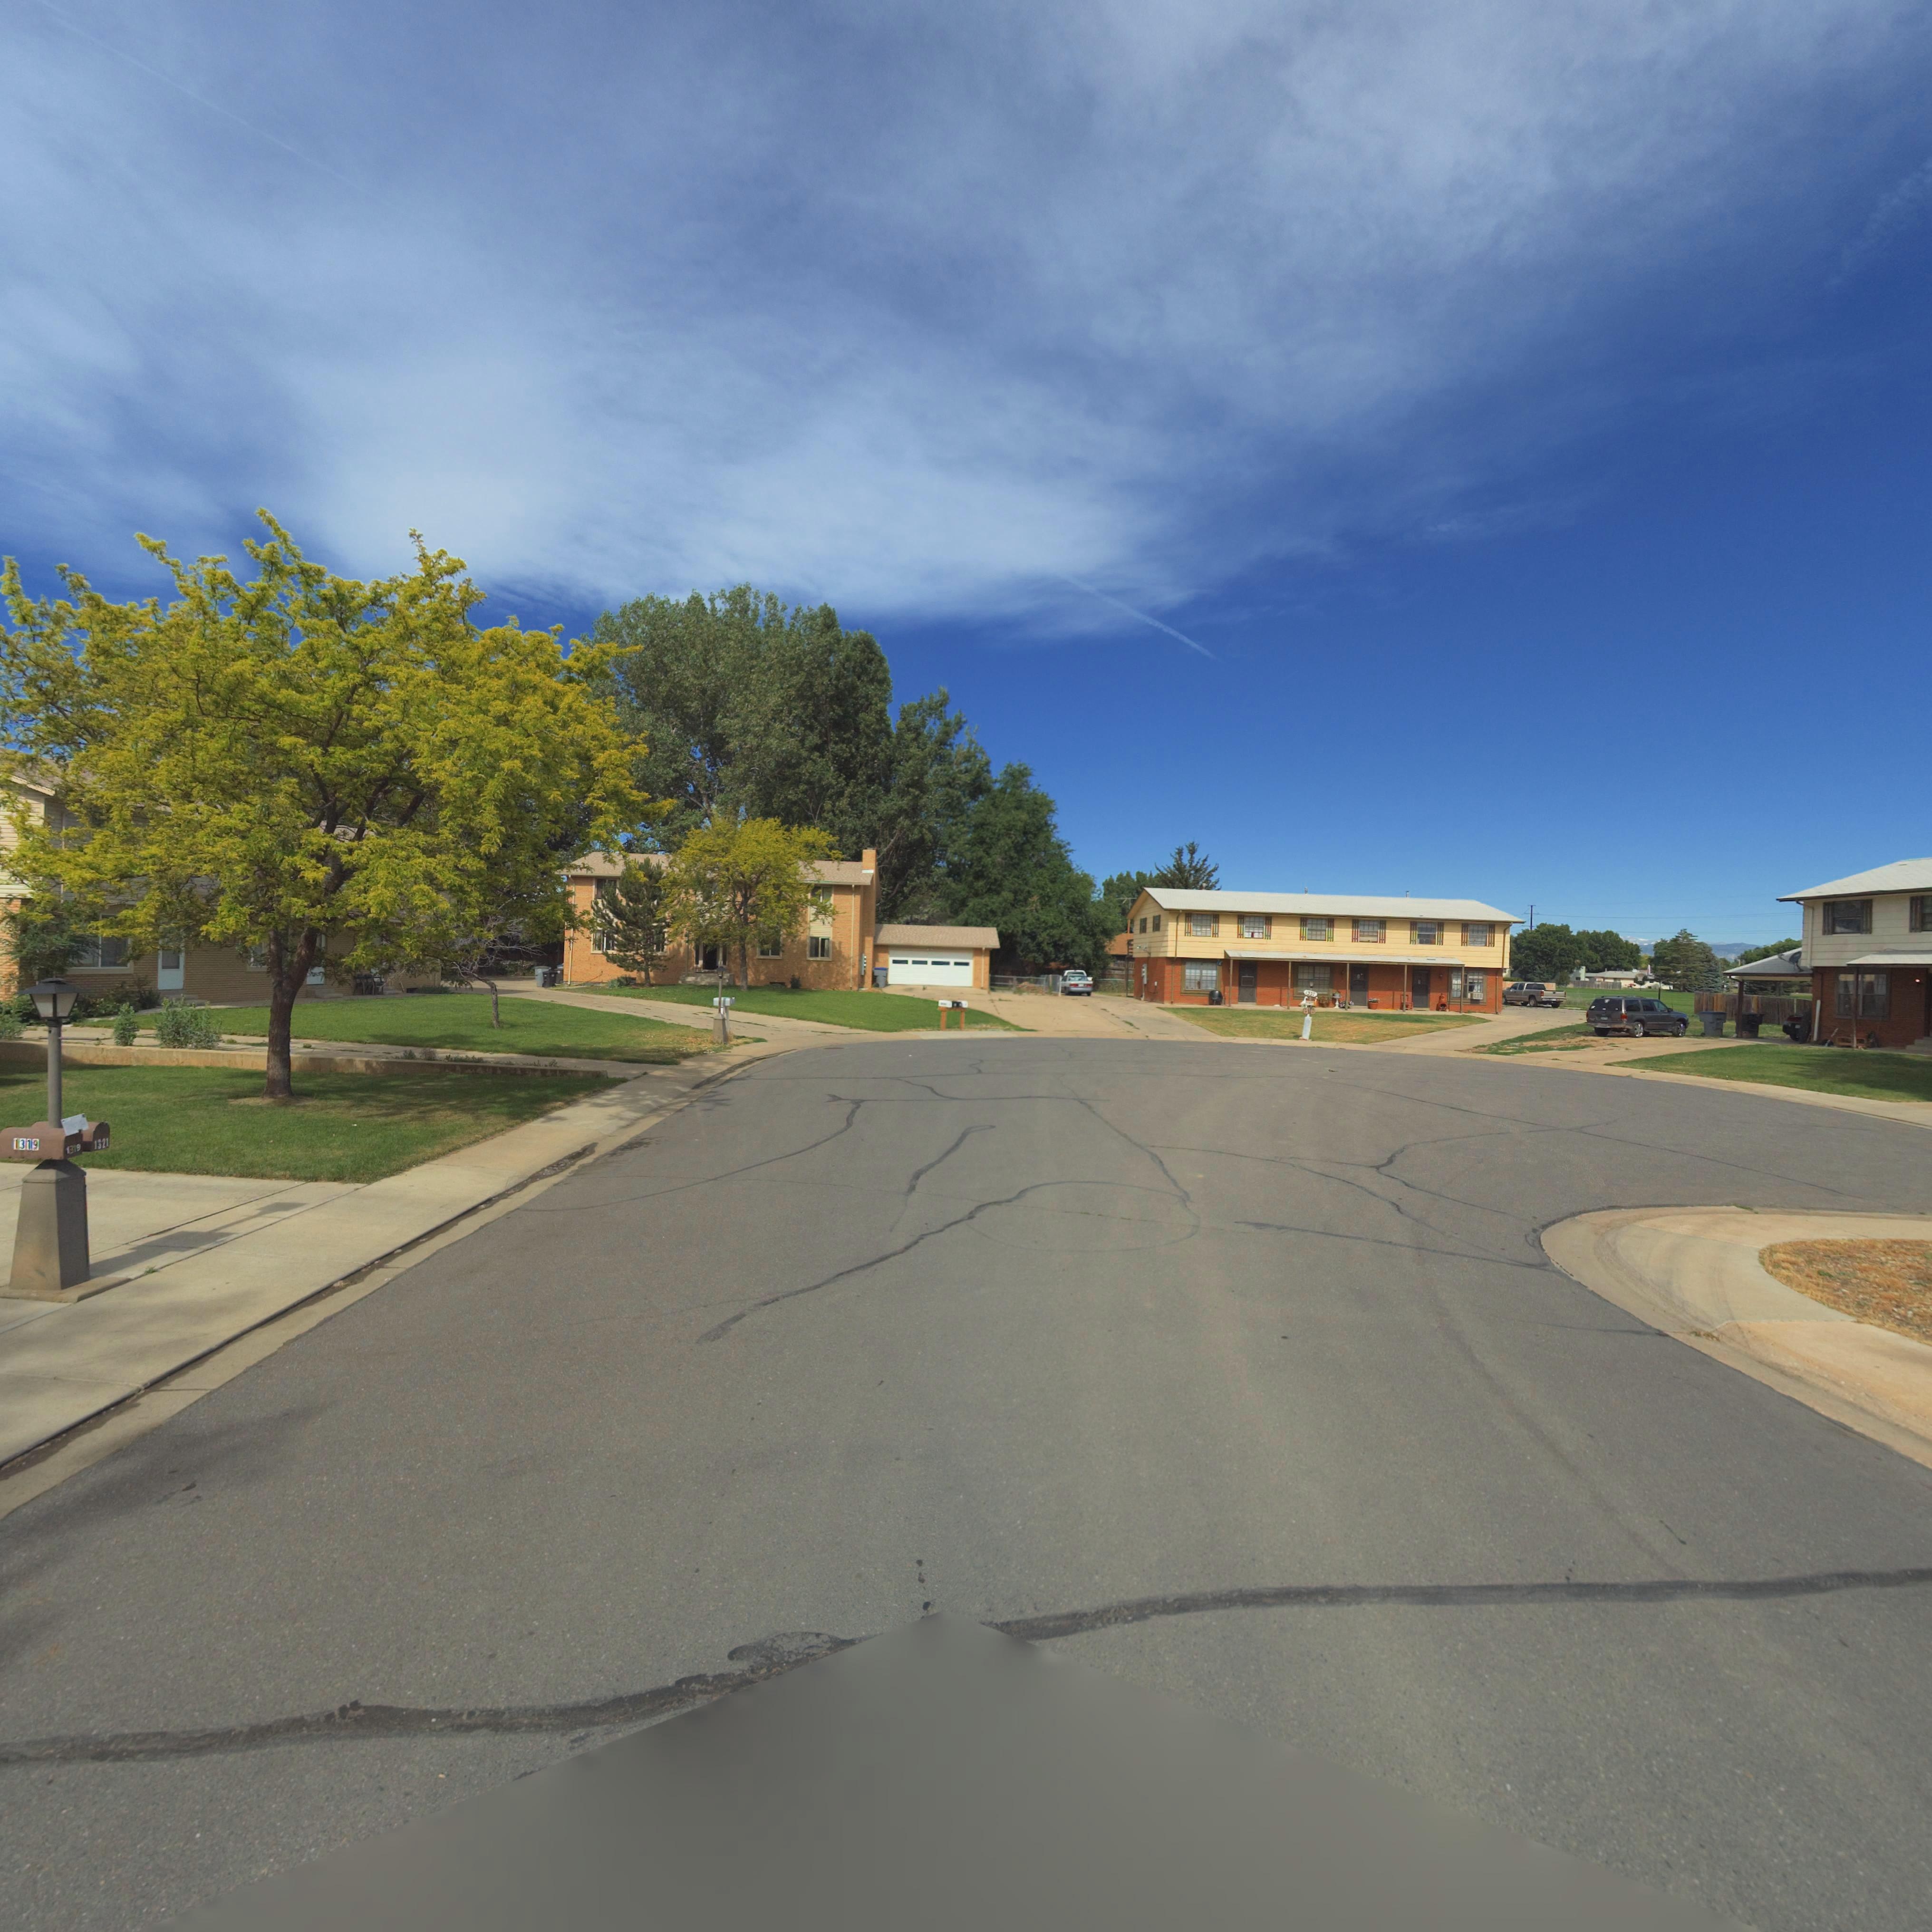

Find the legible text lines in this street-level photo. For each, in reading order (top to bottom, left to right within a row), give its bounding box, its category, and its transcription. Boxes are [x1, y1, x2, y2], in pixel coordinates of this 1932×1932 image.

[1305, 990, 1315, 996] StreetNumber: 1337
[15, 1139, 37, 1150] StreetNumber: 1319
[66, 1143, 80, 1154] StreetNumber: 1318
[94, 1138, 108, 1150] StreetNumber: 1321